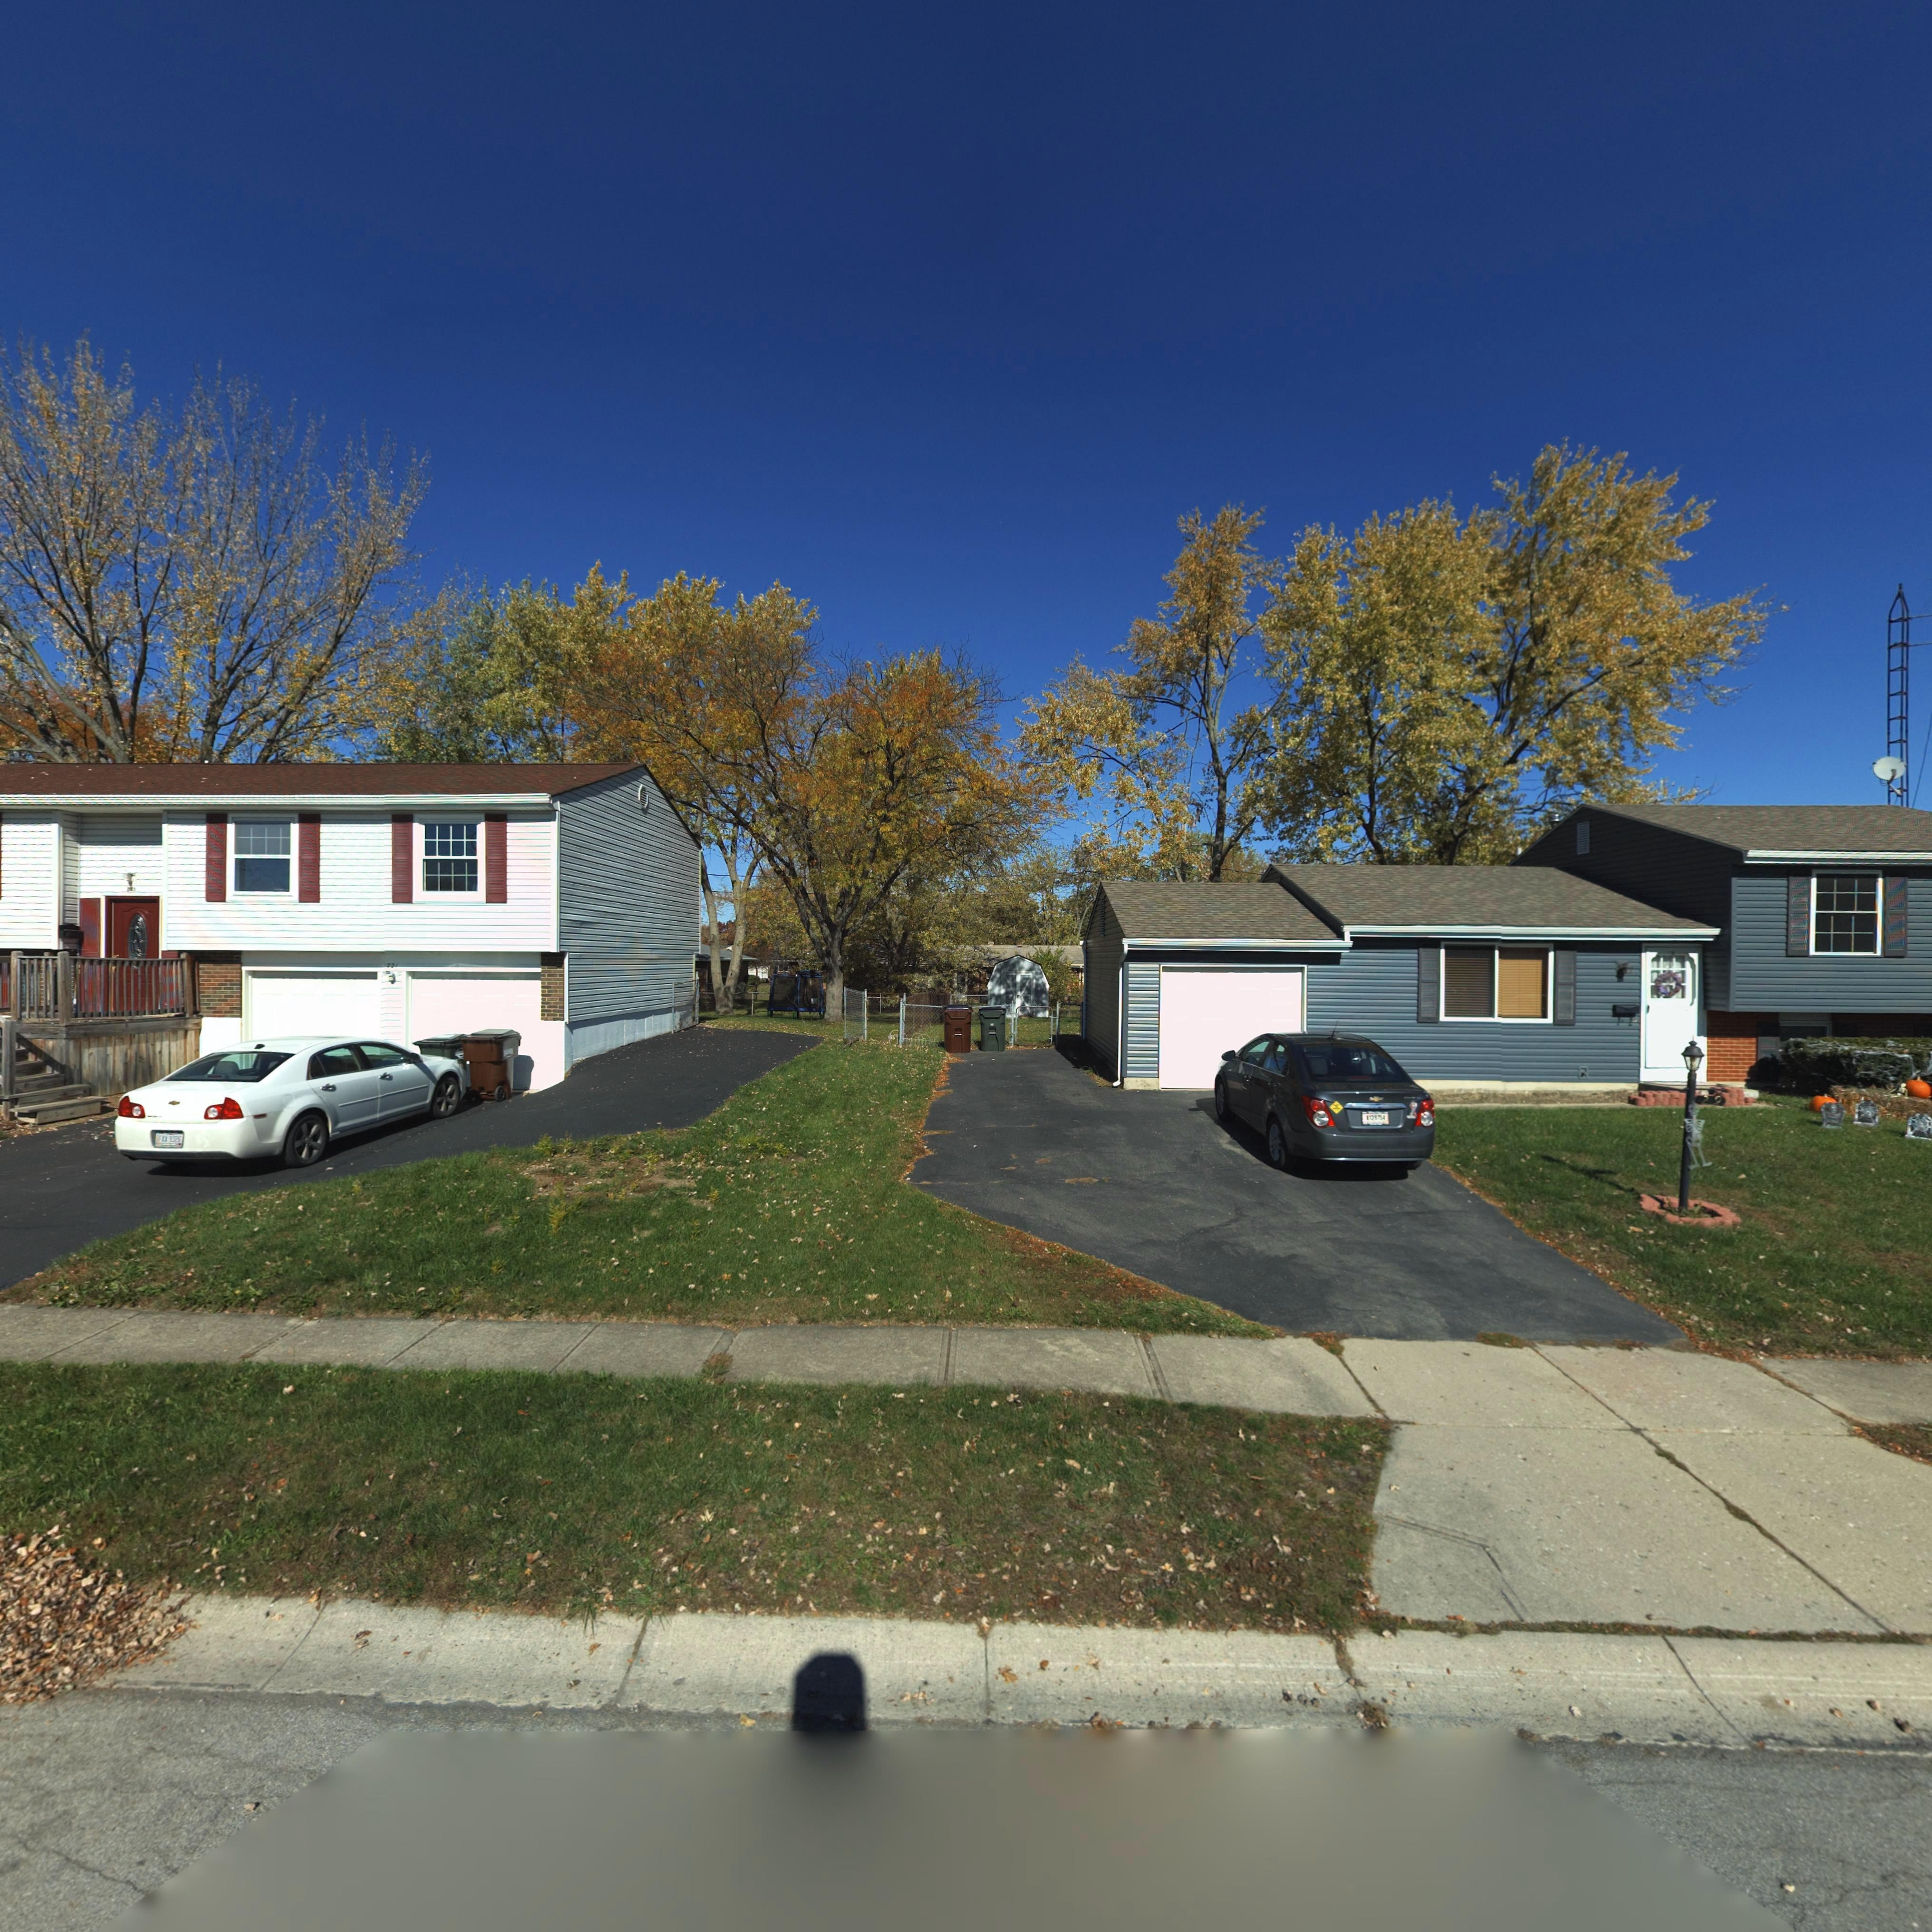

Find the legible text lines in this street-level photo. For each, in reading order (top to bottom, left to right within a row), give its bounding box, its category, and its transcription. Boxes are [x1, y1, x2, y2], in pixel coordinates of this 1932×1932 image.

[126, 887, 136, 892] StreetNumber: 2**
[386, 962, 399, 968] StreetNumber: 221
[1700, 1095, 1723, 1105] StreetNumber: 219